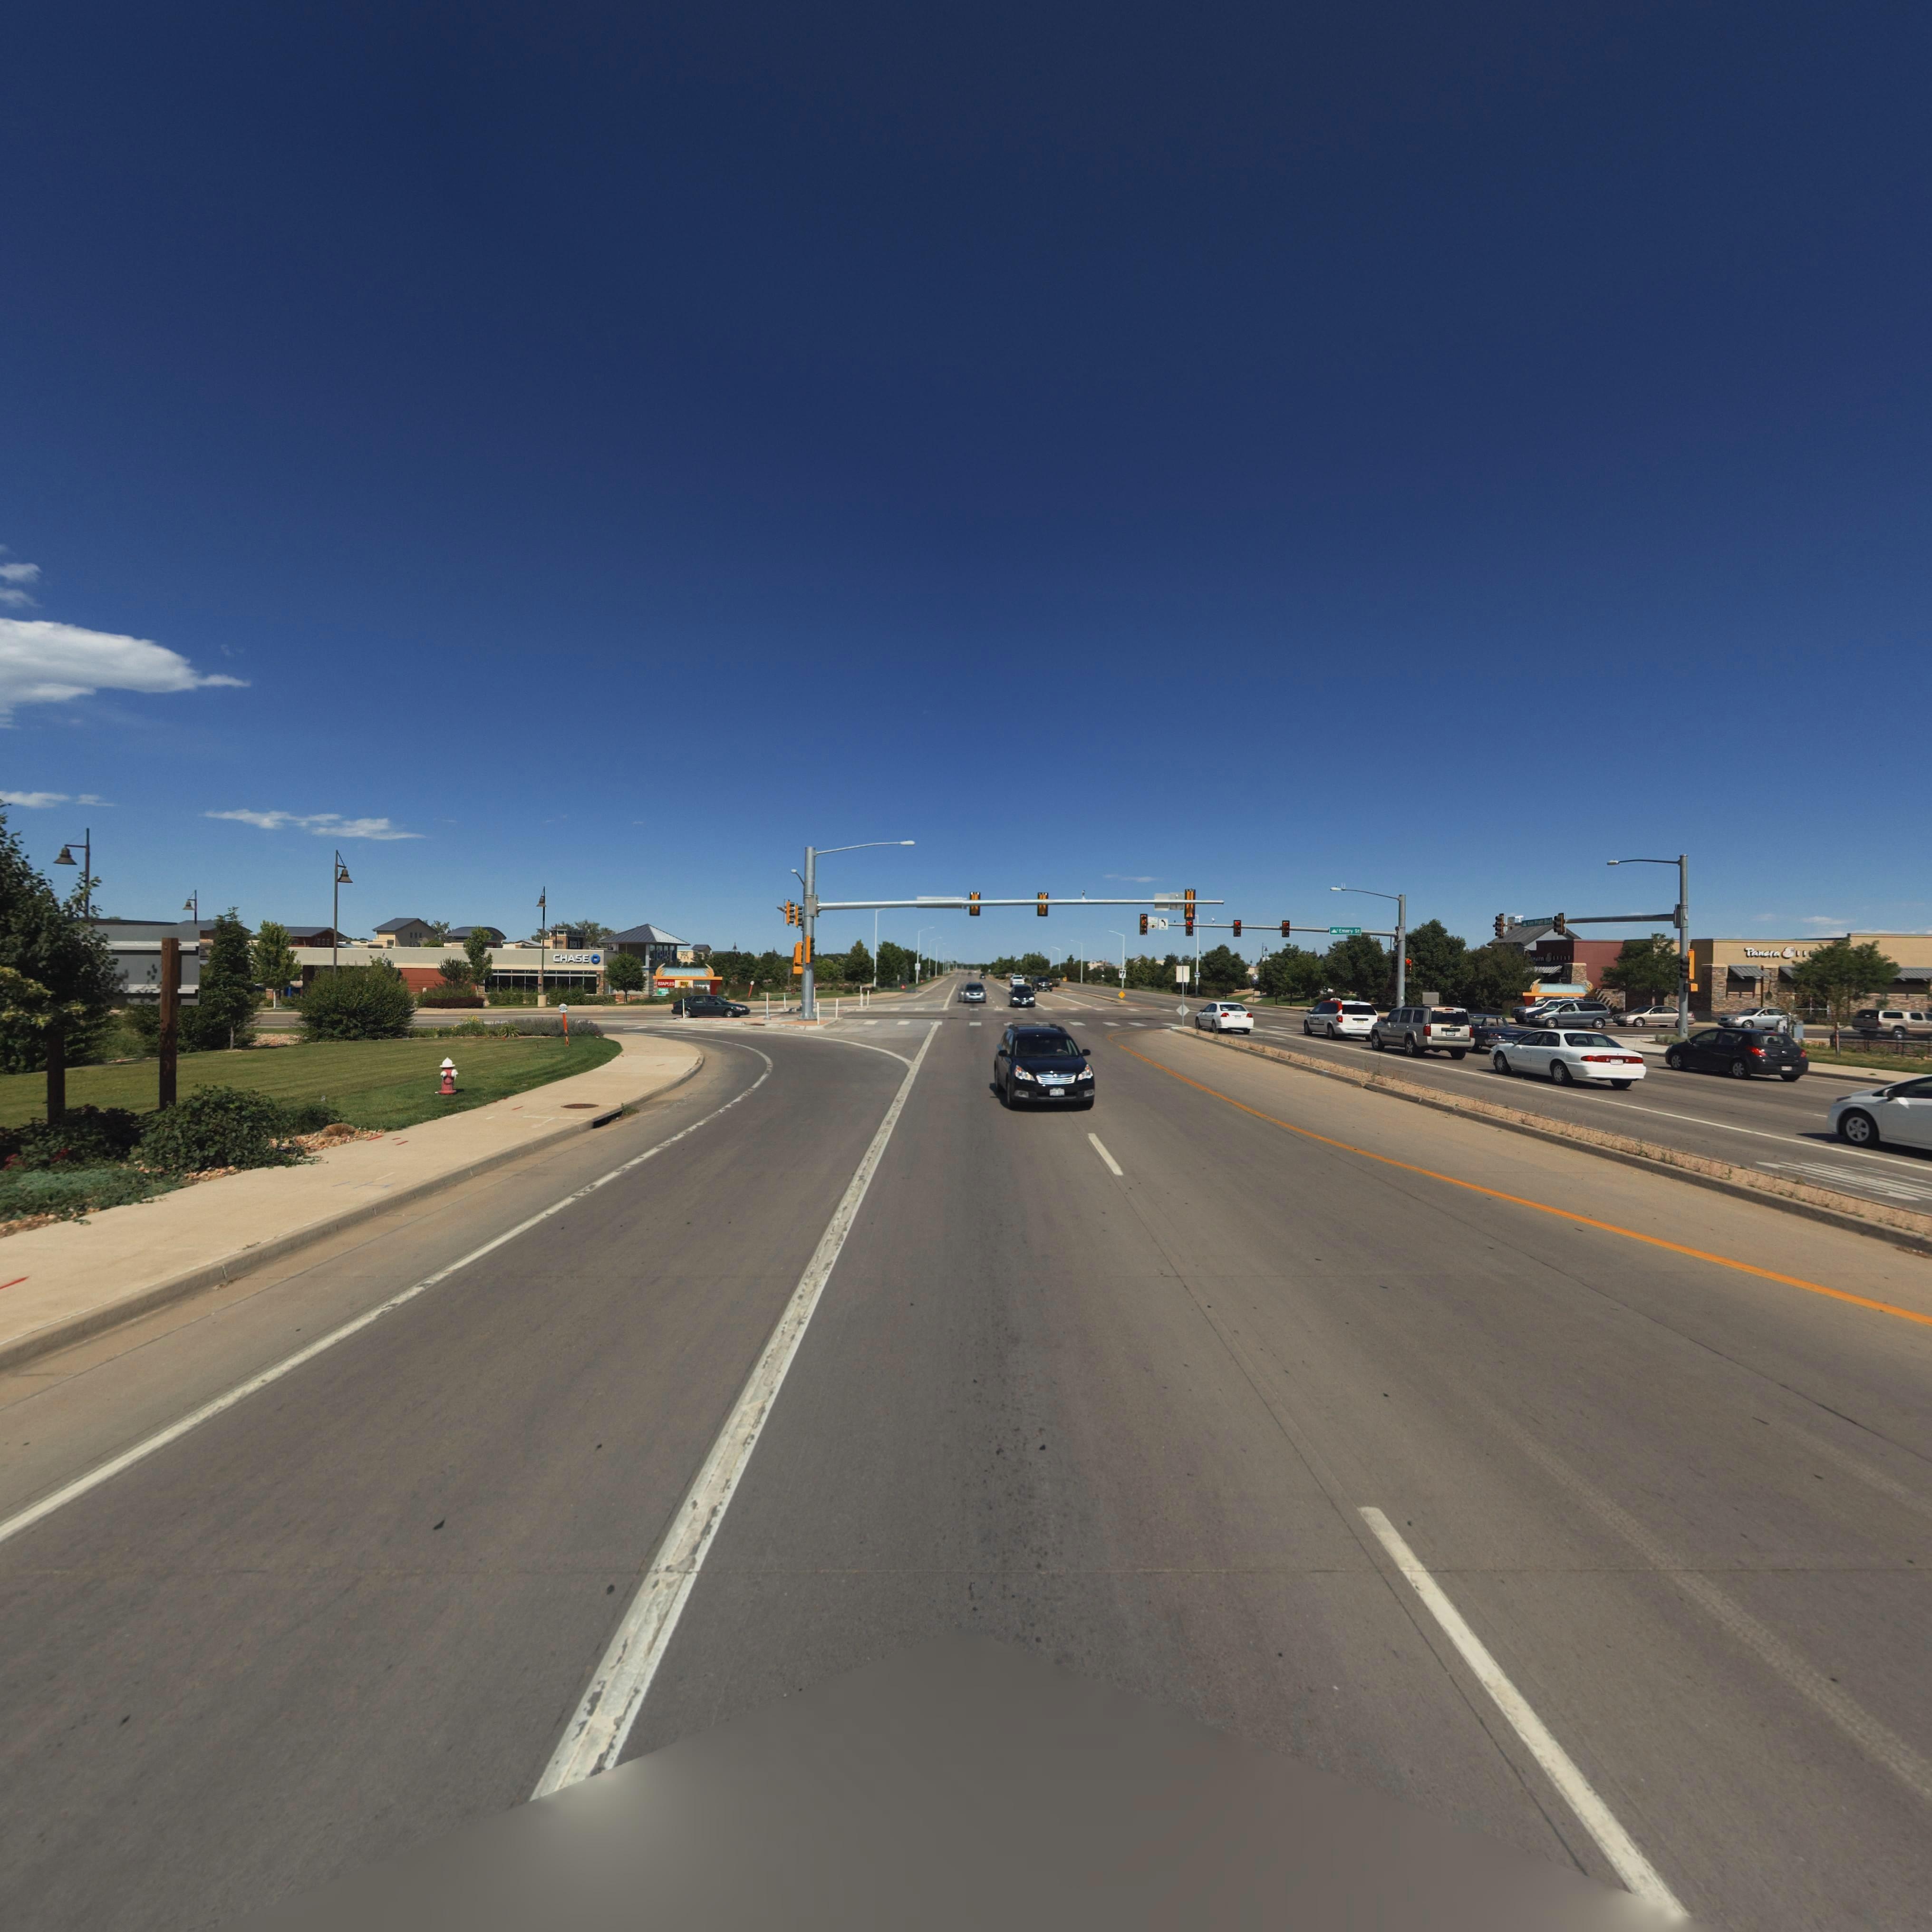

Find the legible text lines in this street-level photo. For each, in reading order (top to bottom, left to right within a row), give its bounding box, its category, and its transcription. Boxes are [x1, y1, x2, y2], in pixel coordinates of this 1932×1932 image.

[1526, 918, 1552, 926] StreetName: K** Pr*tt B**d
[1338, 928, 1360, 934] StreetName: E**ry St
[552, 954, 589, 962] BusinessName: CHASE
[656, 950, 670, 960] BusinessName: CHAS
[1532, 956, 1544, 961] BusinessName: nera
[1745, 947, 1780, 956] BusinessName: Panera
[657, 981, 675, 985] BusinessName: **PLES